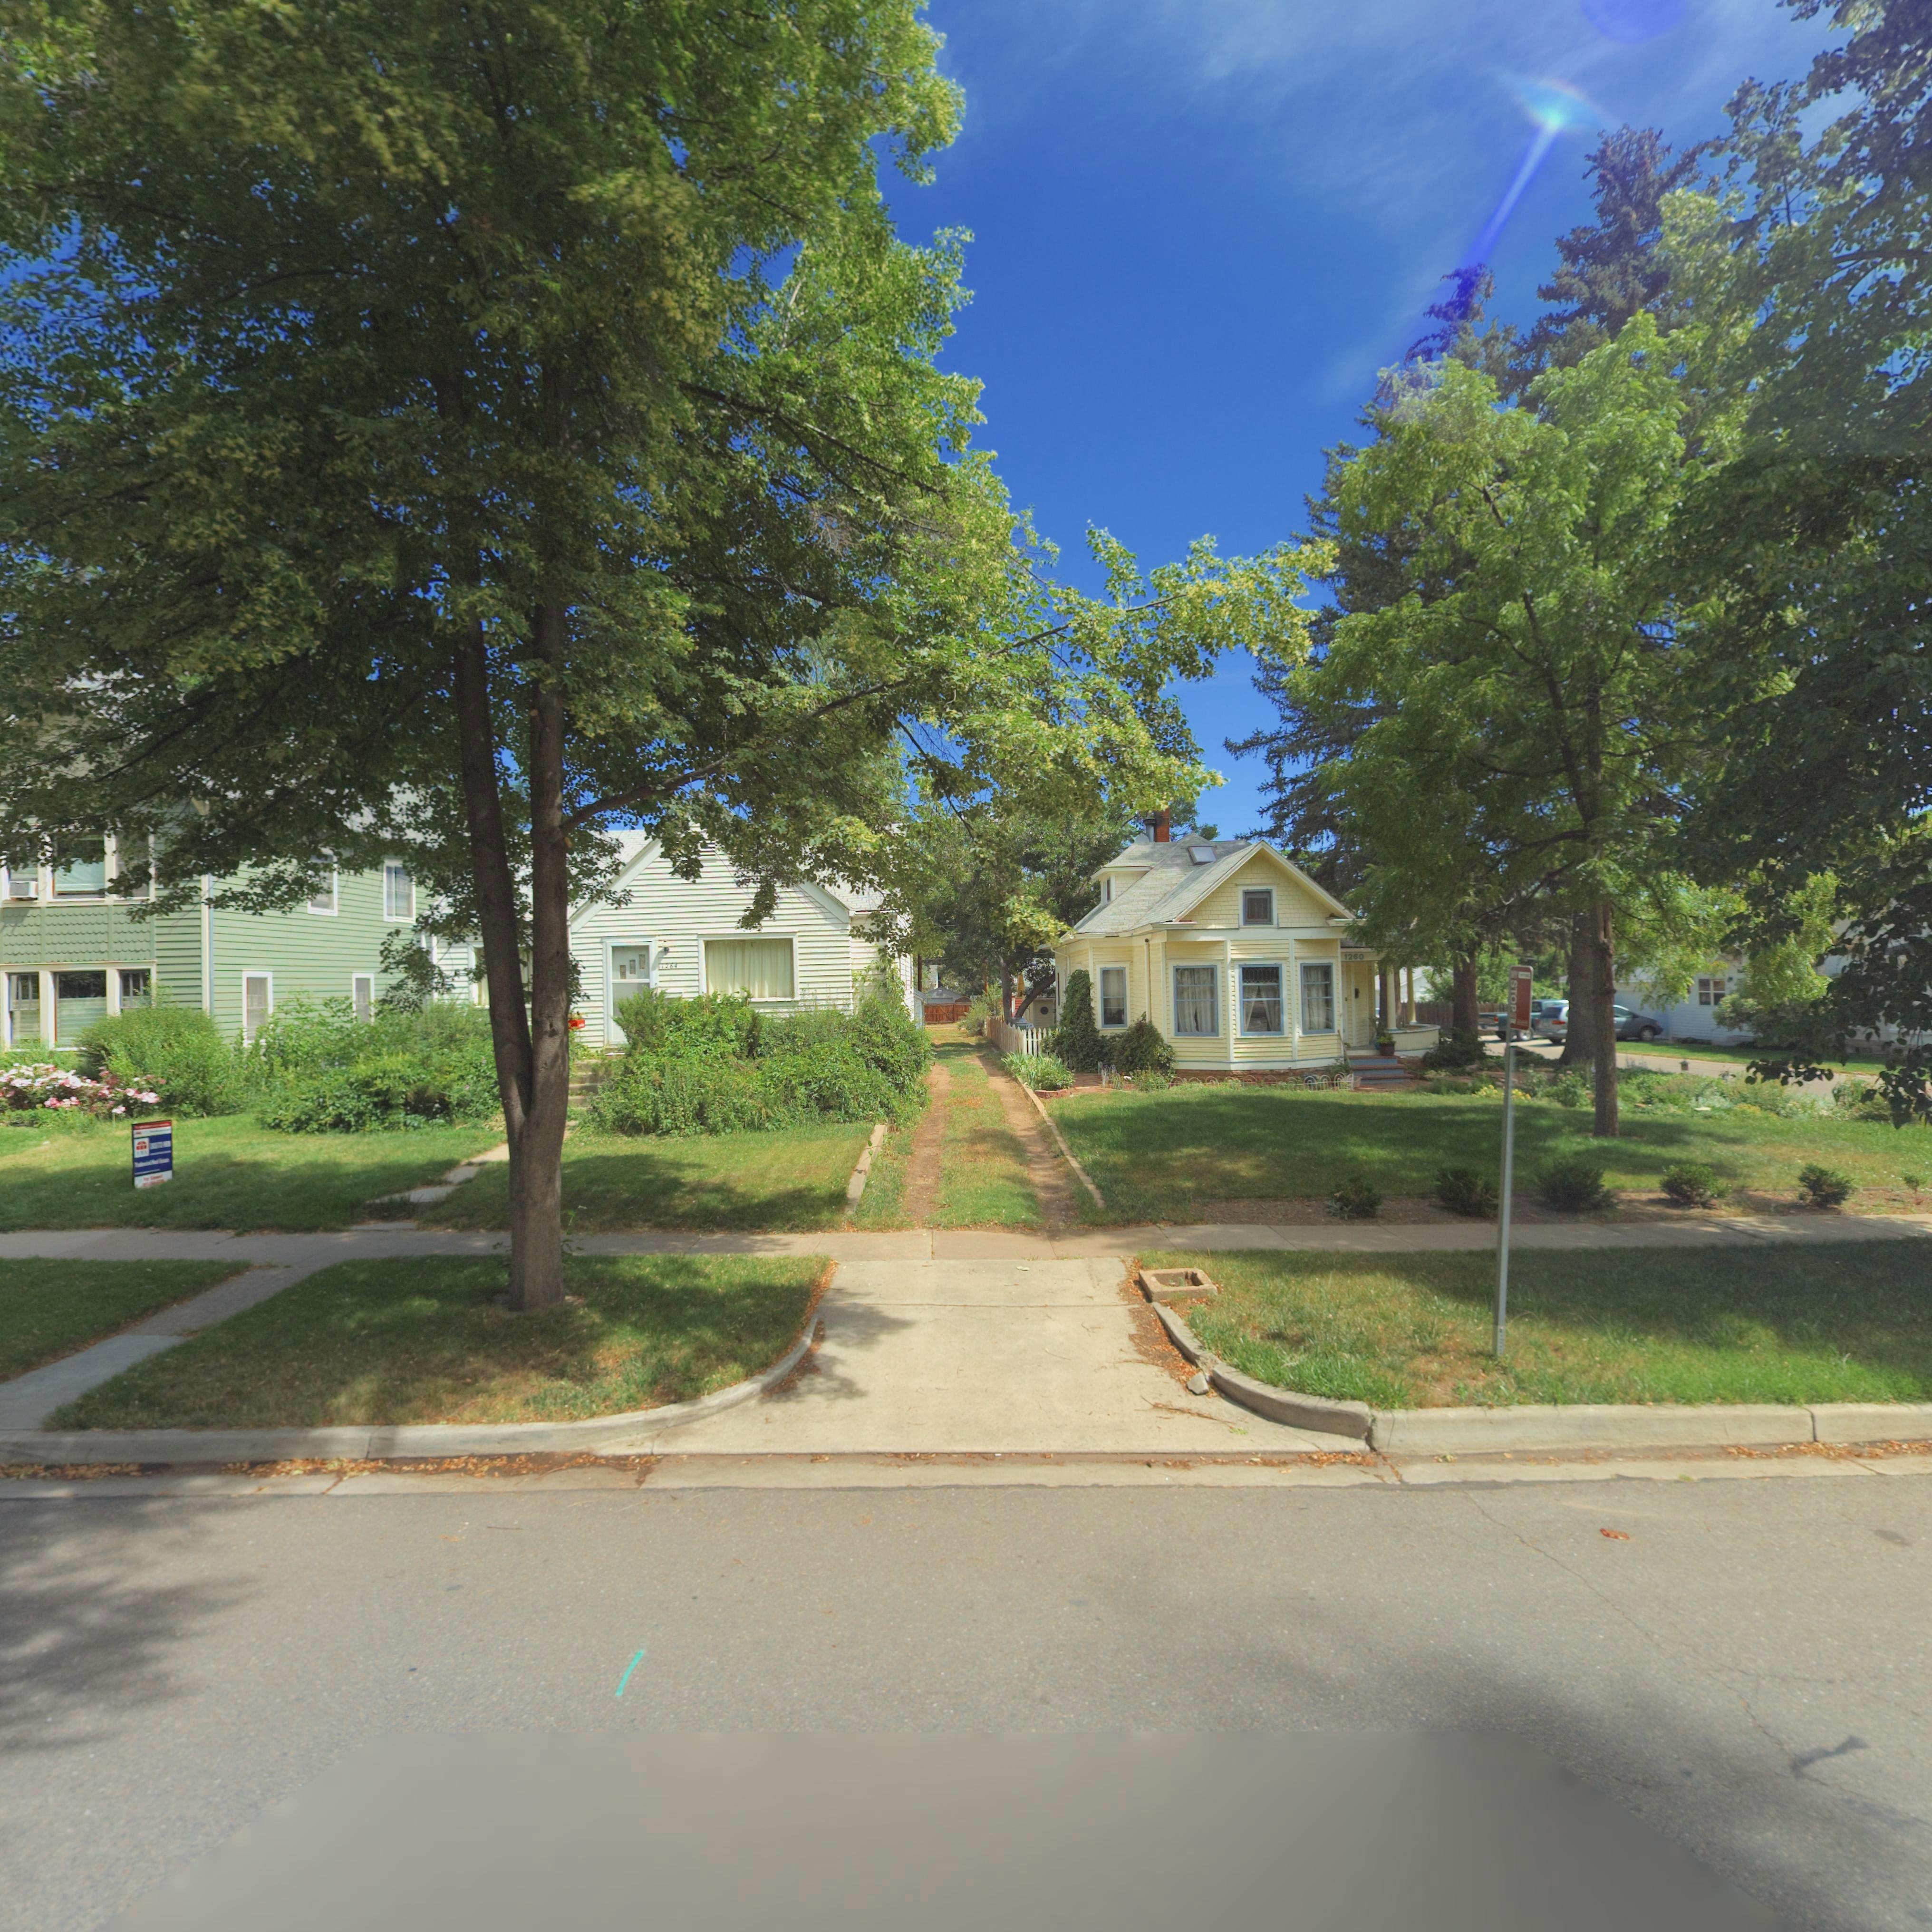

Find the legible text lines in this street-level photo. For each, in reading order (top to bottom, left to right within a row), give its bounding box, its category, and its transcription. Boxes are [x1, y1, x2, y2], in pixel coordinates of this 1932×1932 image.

[1343, 953, 1364, 960] StreetNumber: 1260
[660, 962, 678, 969] StreetNumber: 1264